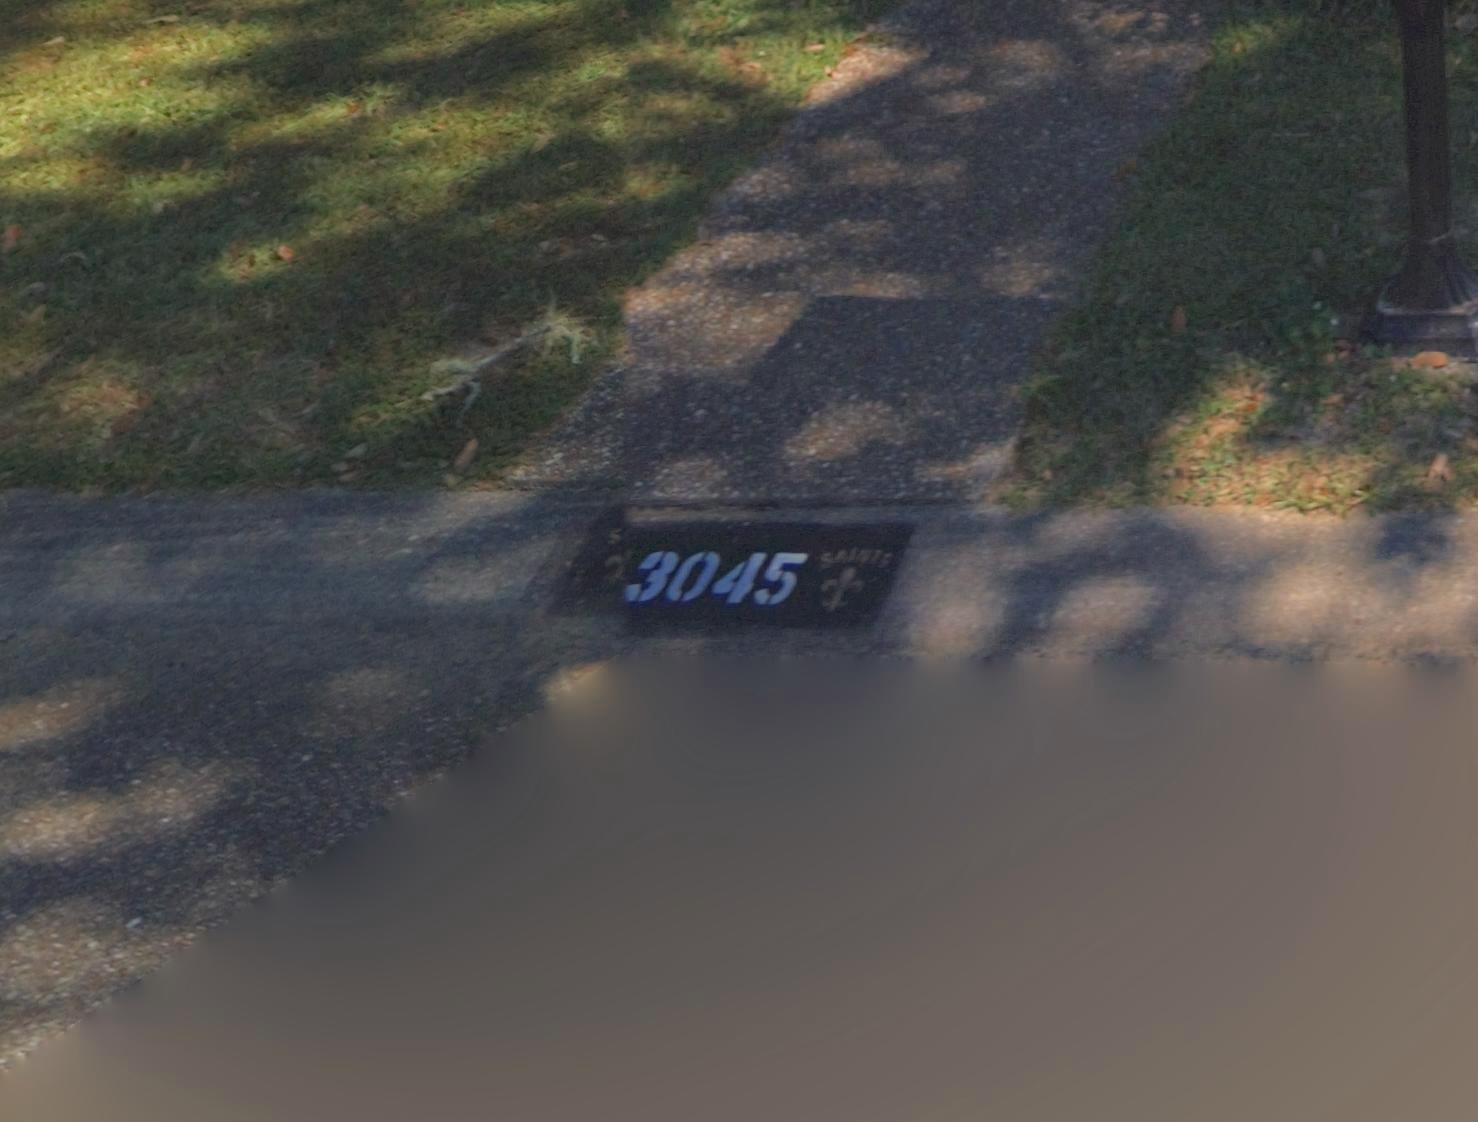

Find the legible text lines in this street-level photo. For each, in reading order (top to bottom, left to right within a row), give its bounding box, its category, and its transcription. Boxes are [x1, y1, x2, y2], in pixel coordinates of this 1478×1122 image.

[608, 545, 821, 611] StreetNumber: 3045
[816, 543, 896, 573] None: SAINTS